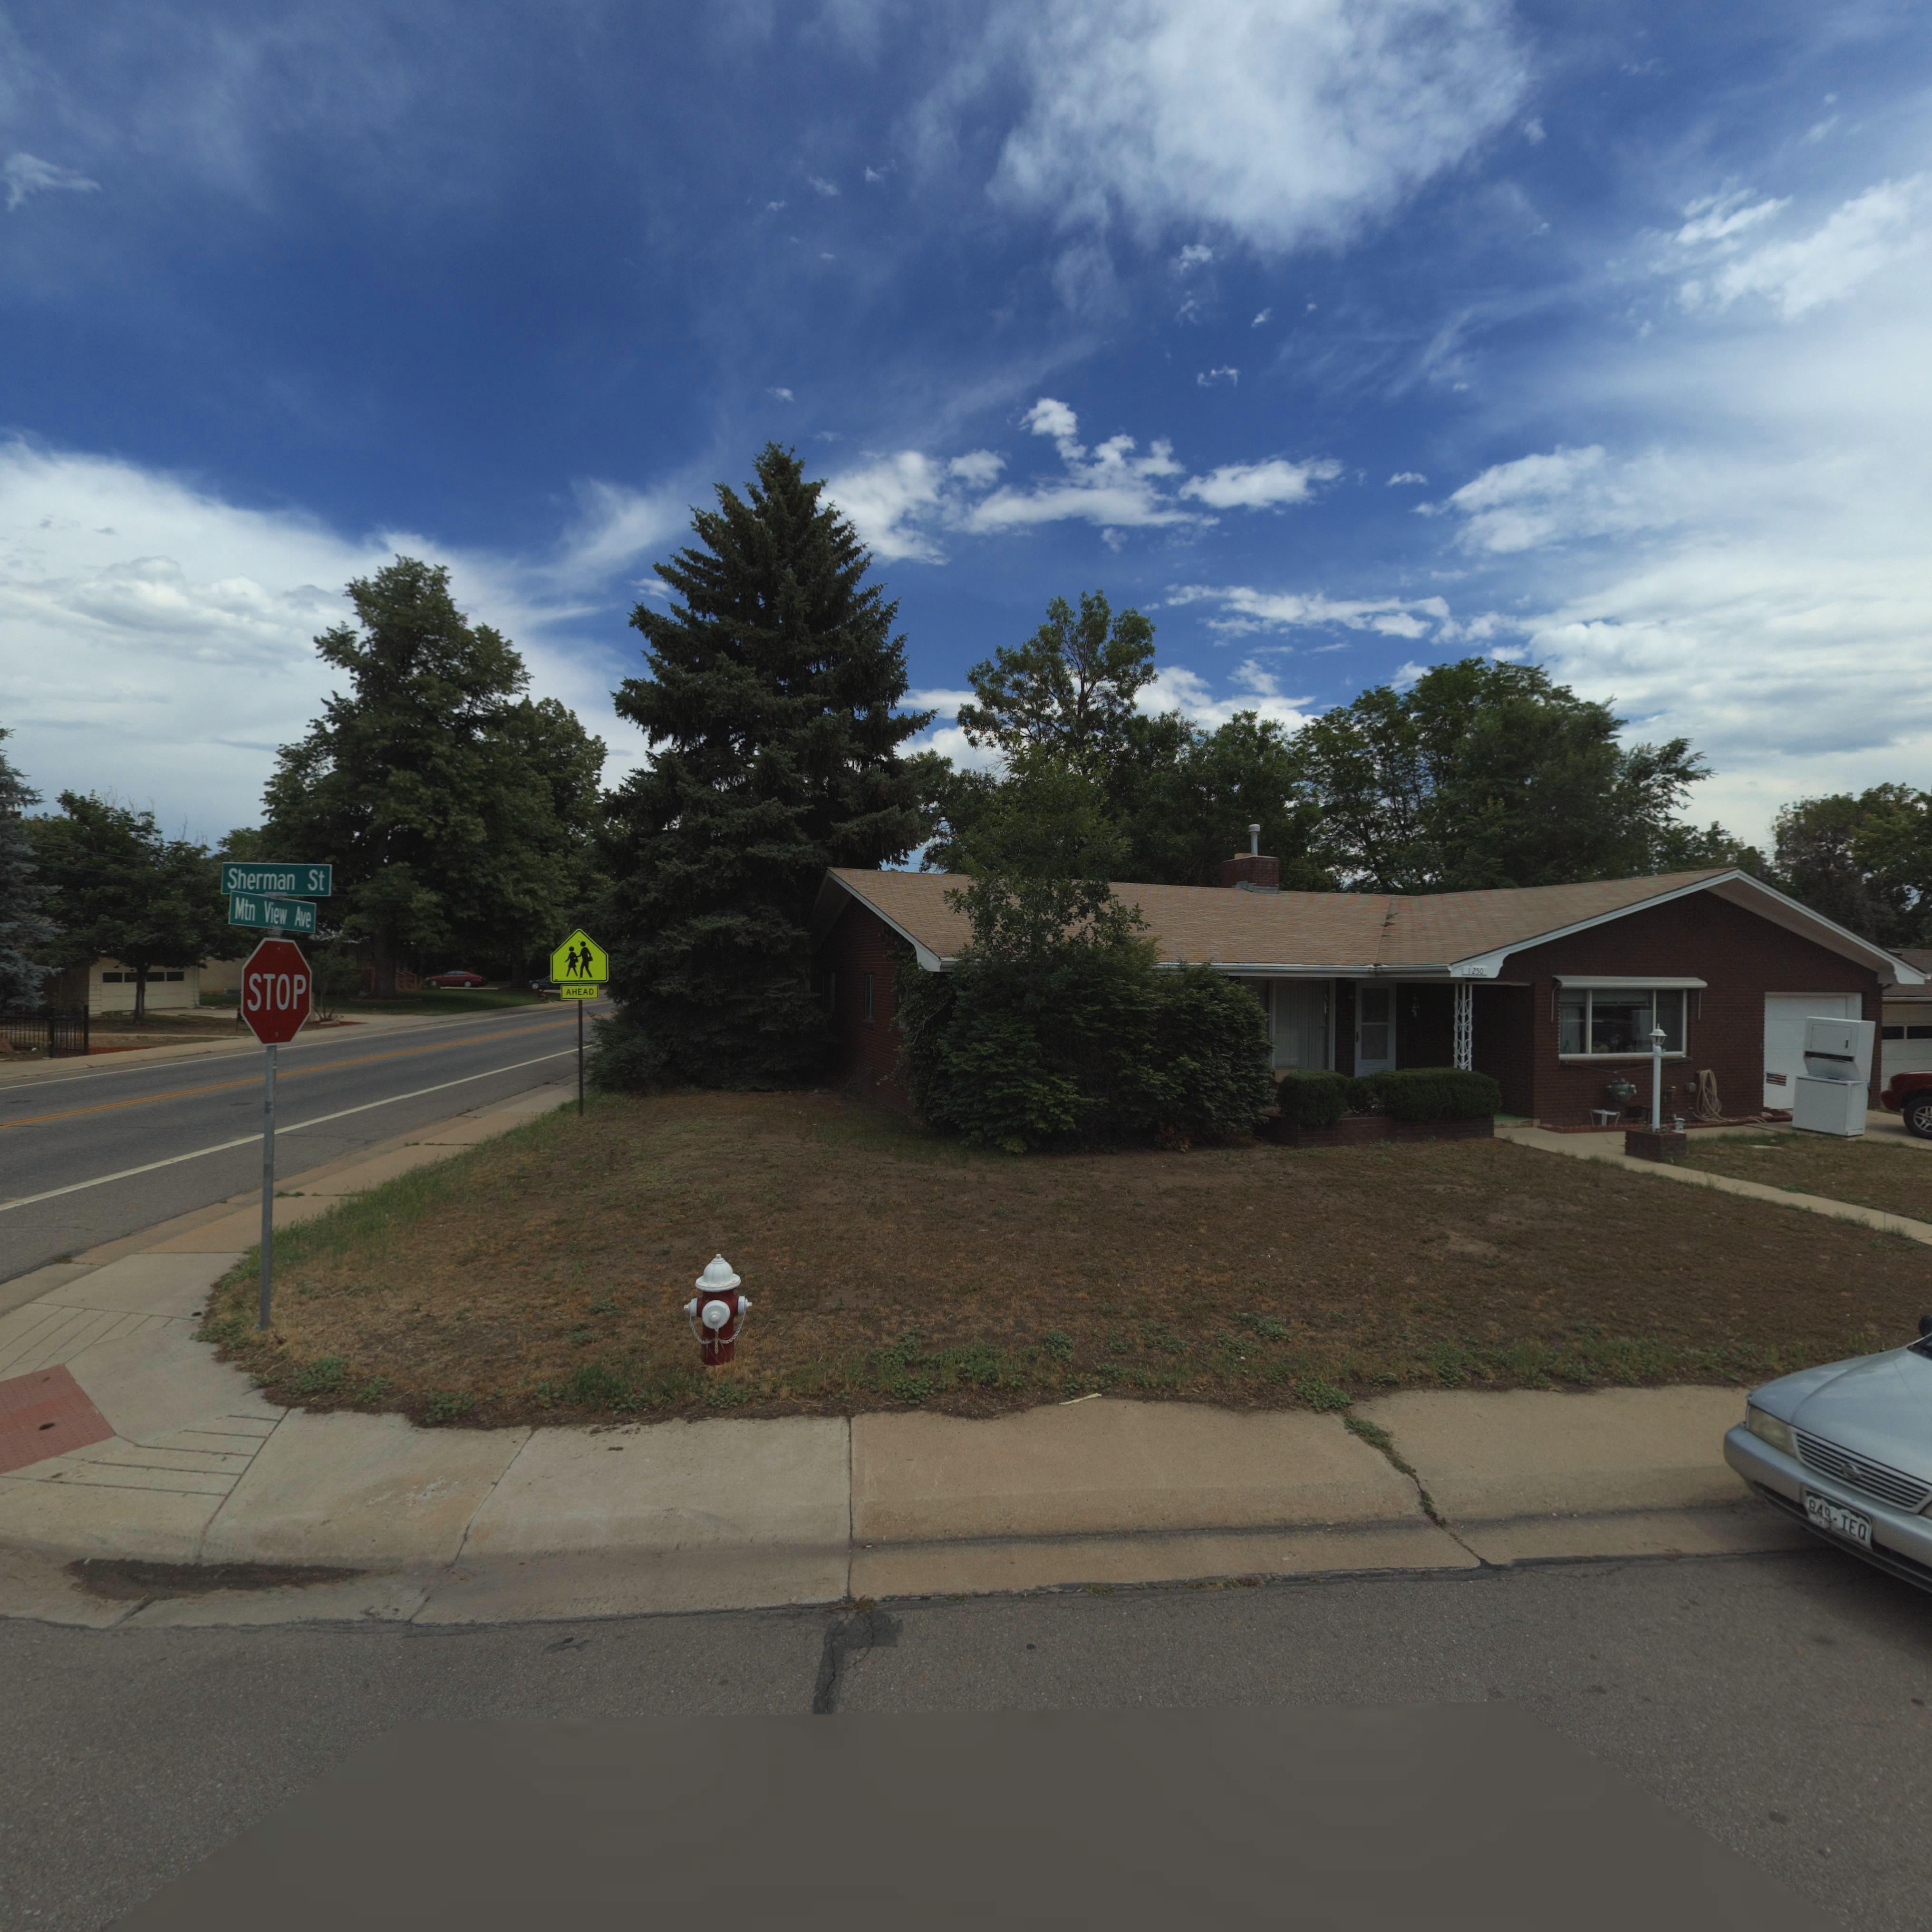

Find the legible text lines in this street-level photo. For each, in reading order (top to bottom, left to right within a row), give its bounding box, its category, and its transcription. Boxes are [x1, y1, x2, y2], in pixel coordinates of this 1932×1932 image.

[226, 867, 326, 891] StreetName: Sherman St
[233, 896, 311, 927] StreetName: Mtn View Ave
[1468, 967, 1484, 975] StreetNumber: 1250